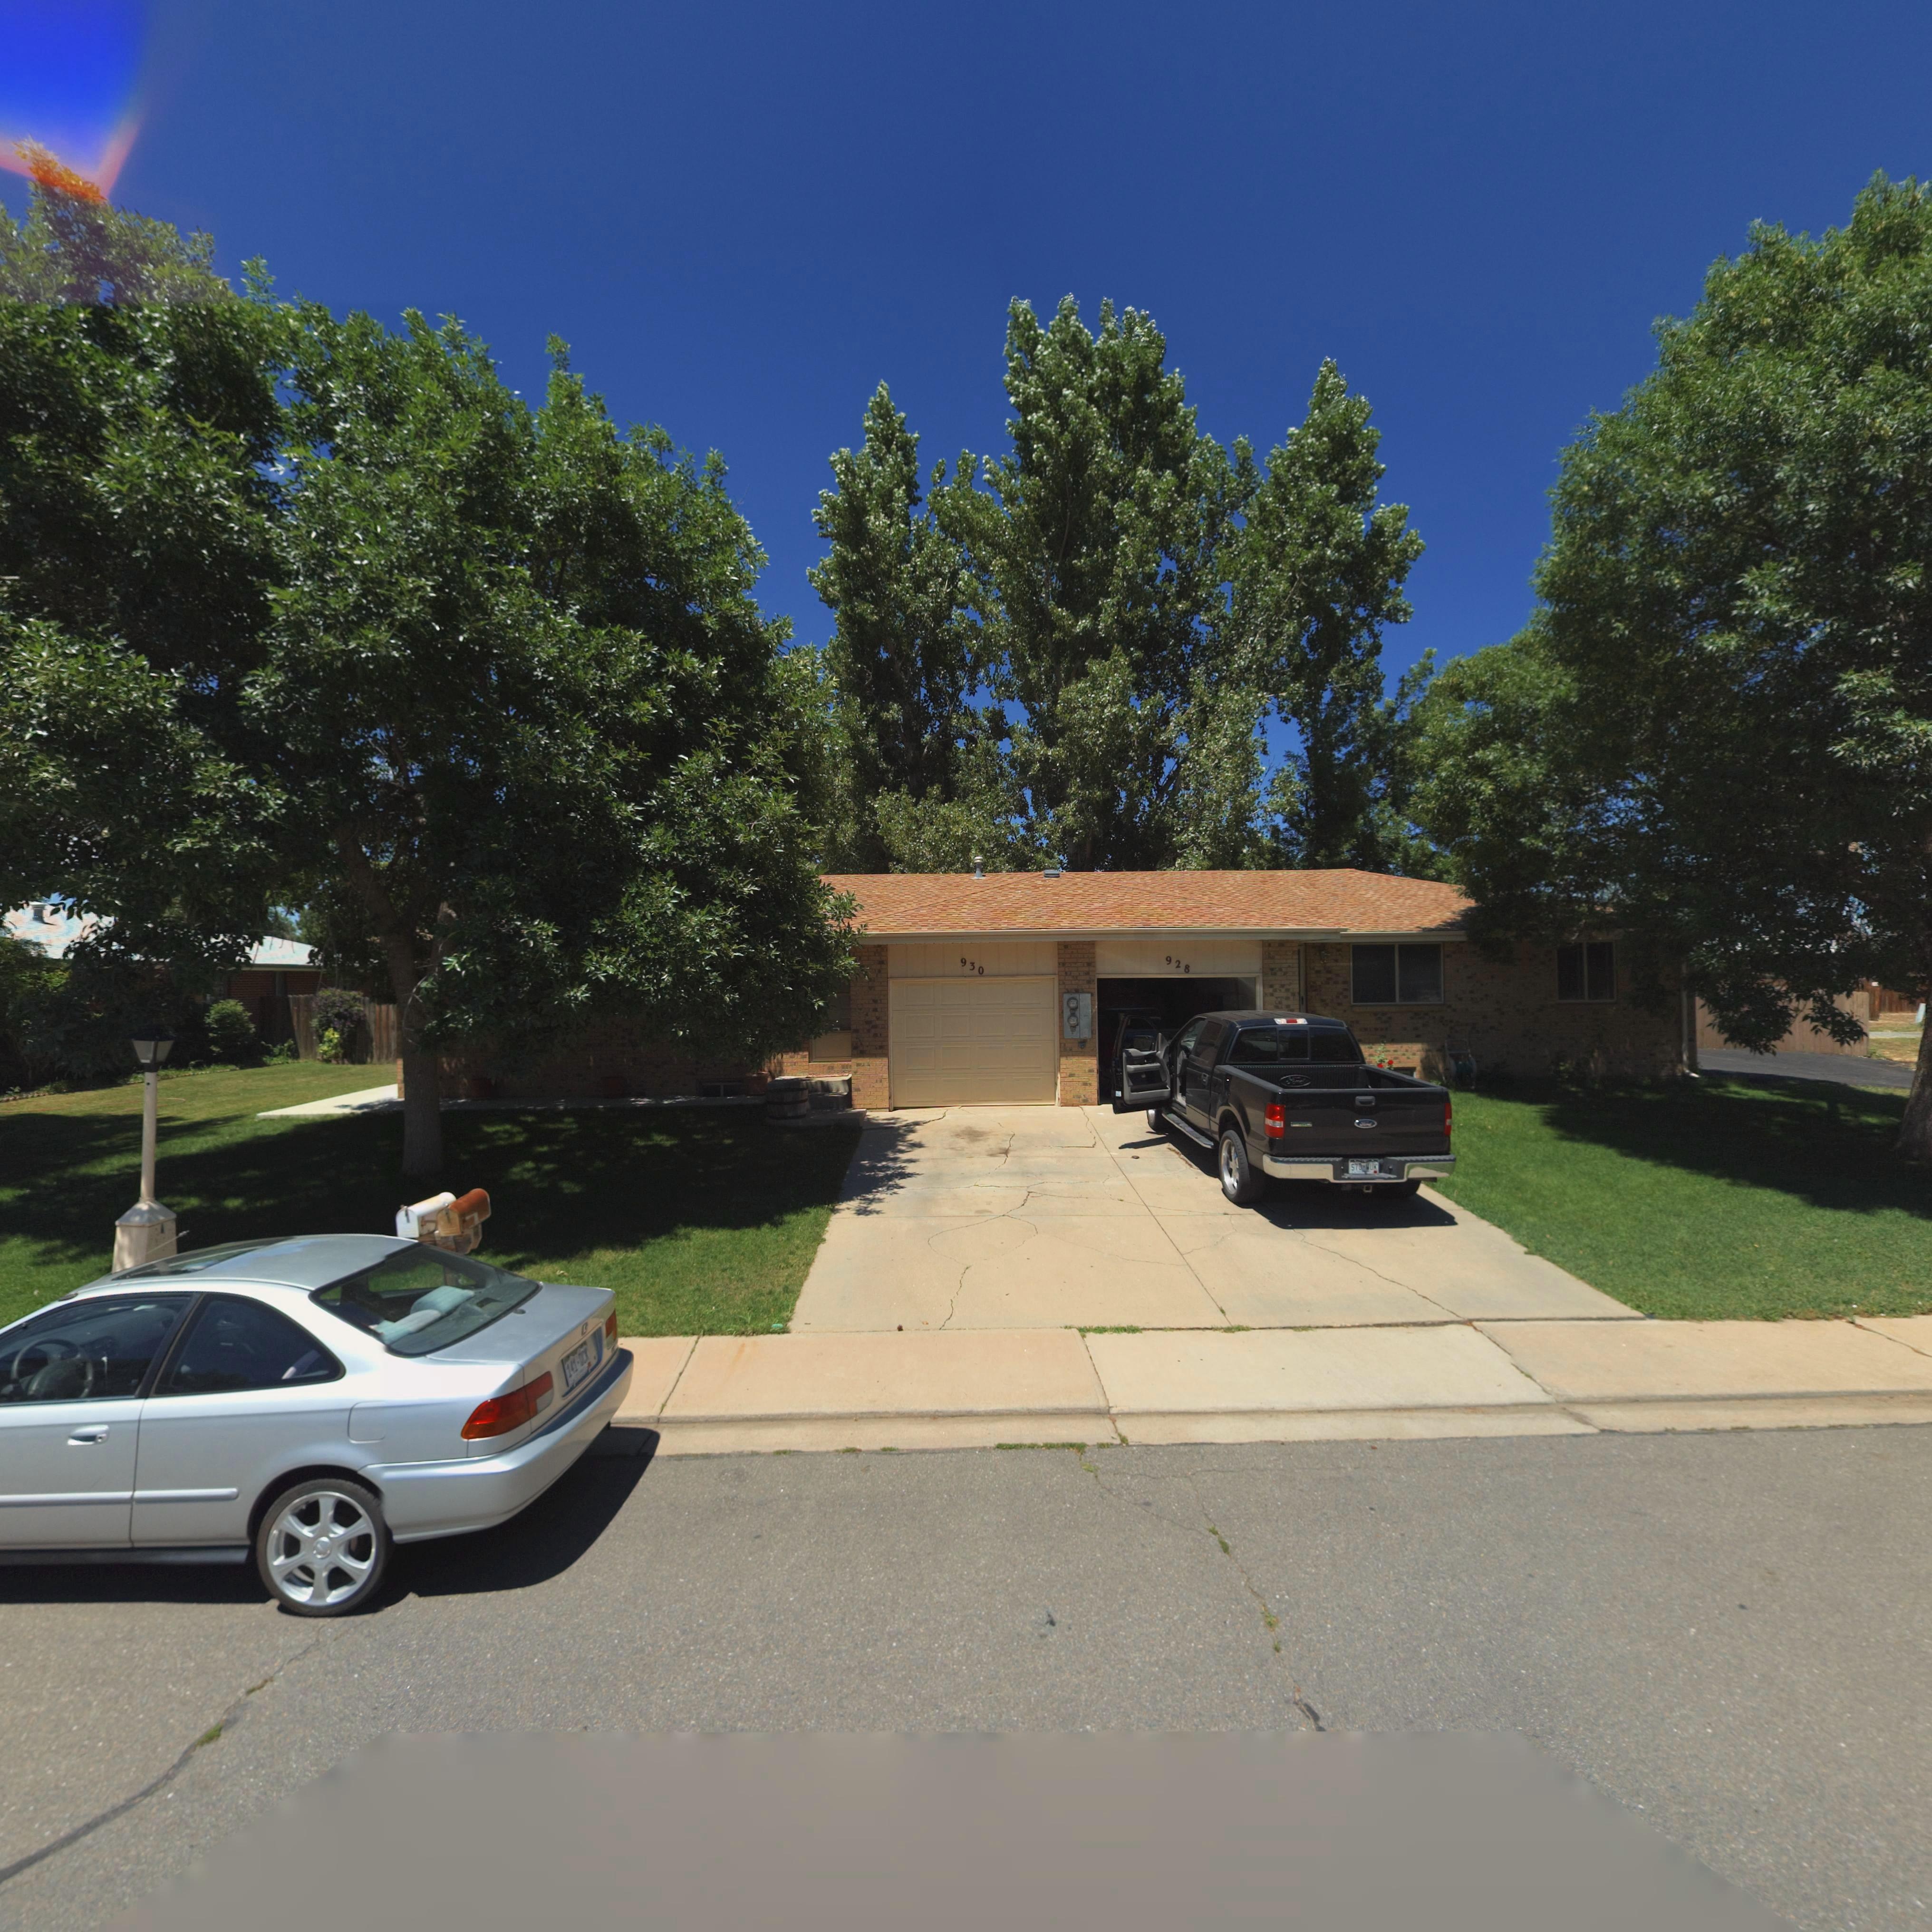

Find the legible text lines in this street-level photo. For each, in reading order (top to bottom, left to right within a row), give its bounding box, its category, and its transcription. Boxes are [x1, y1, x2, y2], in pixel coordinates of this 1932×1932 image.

[960, 957, 984, 975] StreetNumber: 930
[1165, 955, 1190, 974] StreetNumber: 928